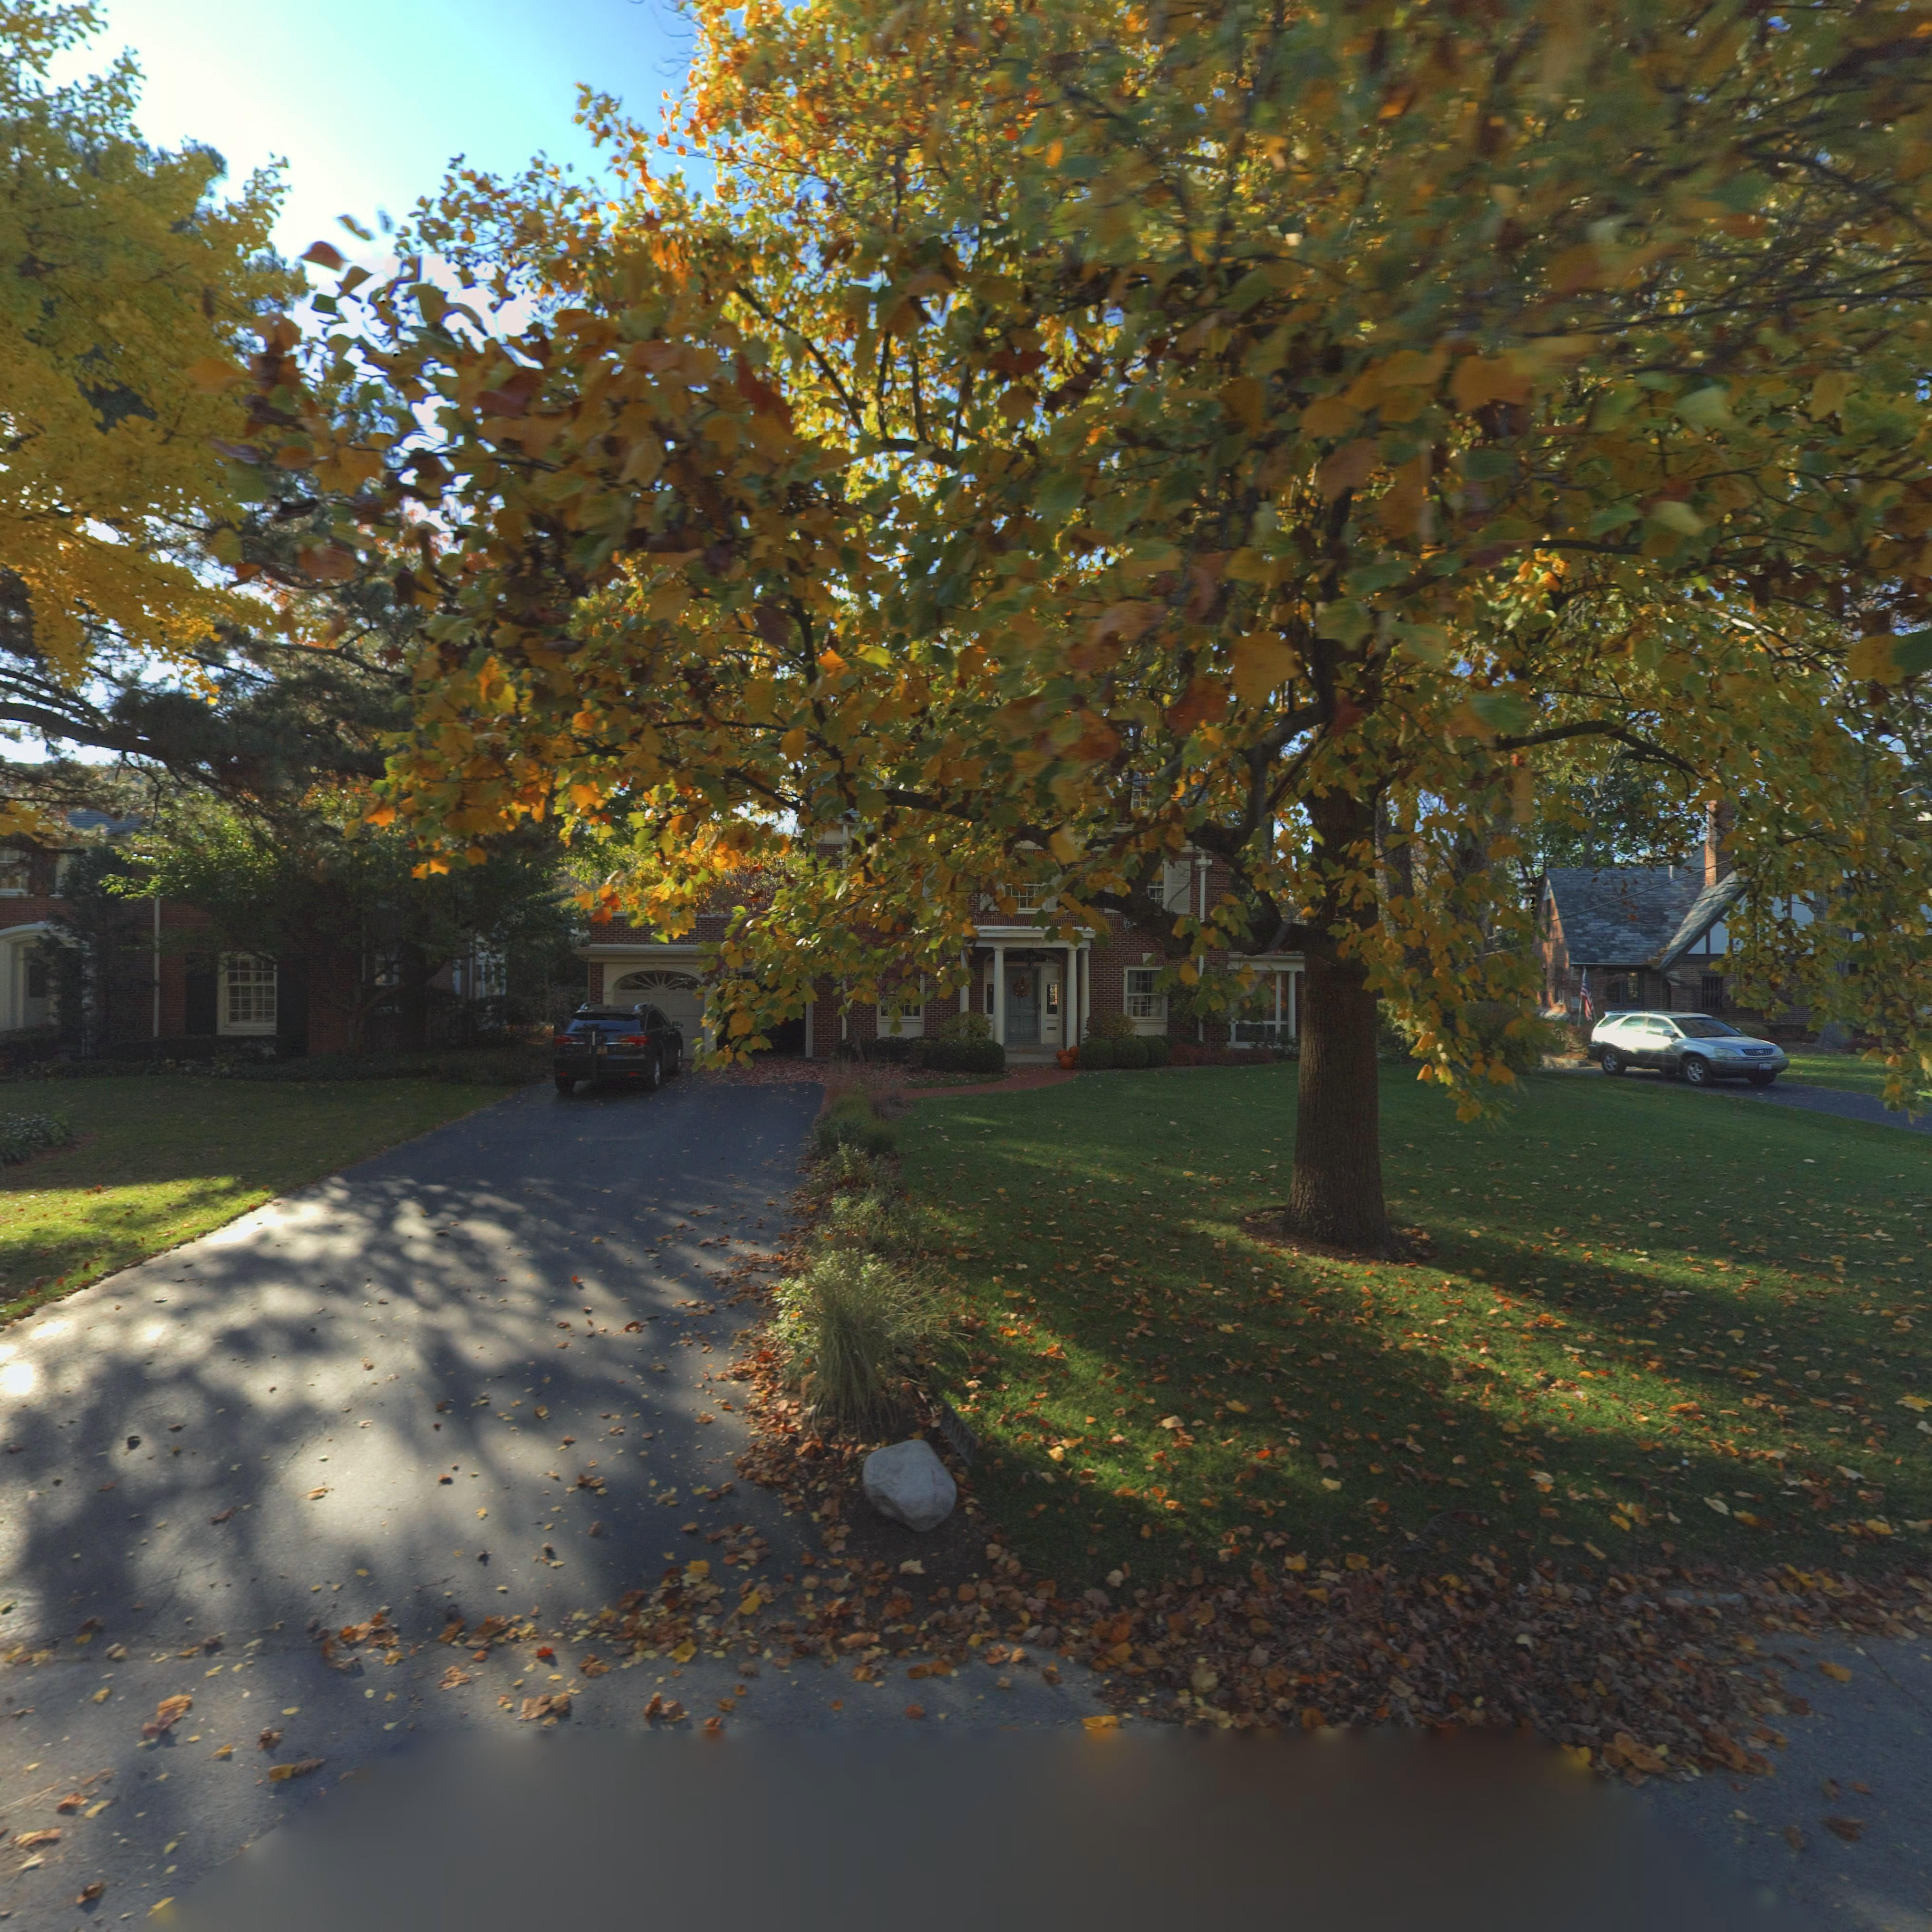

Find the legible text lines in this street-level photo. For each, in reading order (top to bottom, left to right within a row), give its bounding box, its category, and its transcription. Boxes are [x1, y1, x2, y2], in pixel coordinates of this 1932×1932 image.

[1029, 938, 1045, 947] StreetNumber: 303